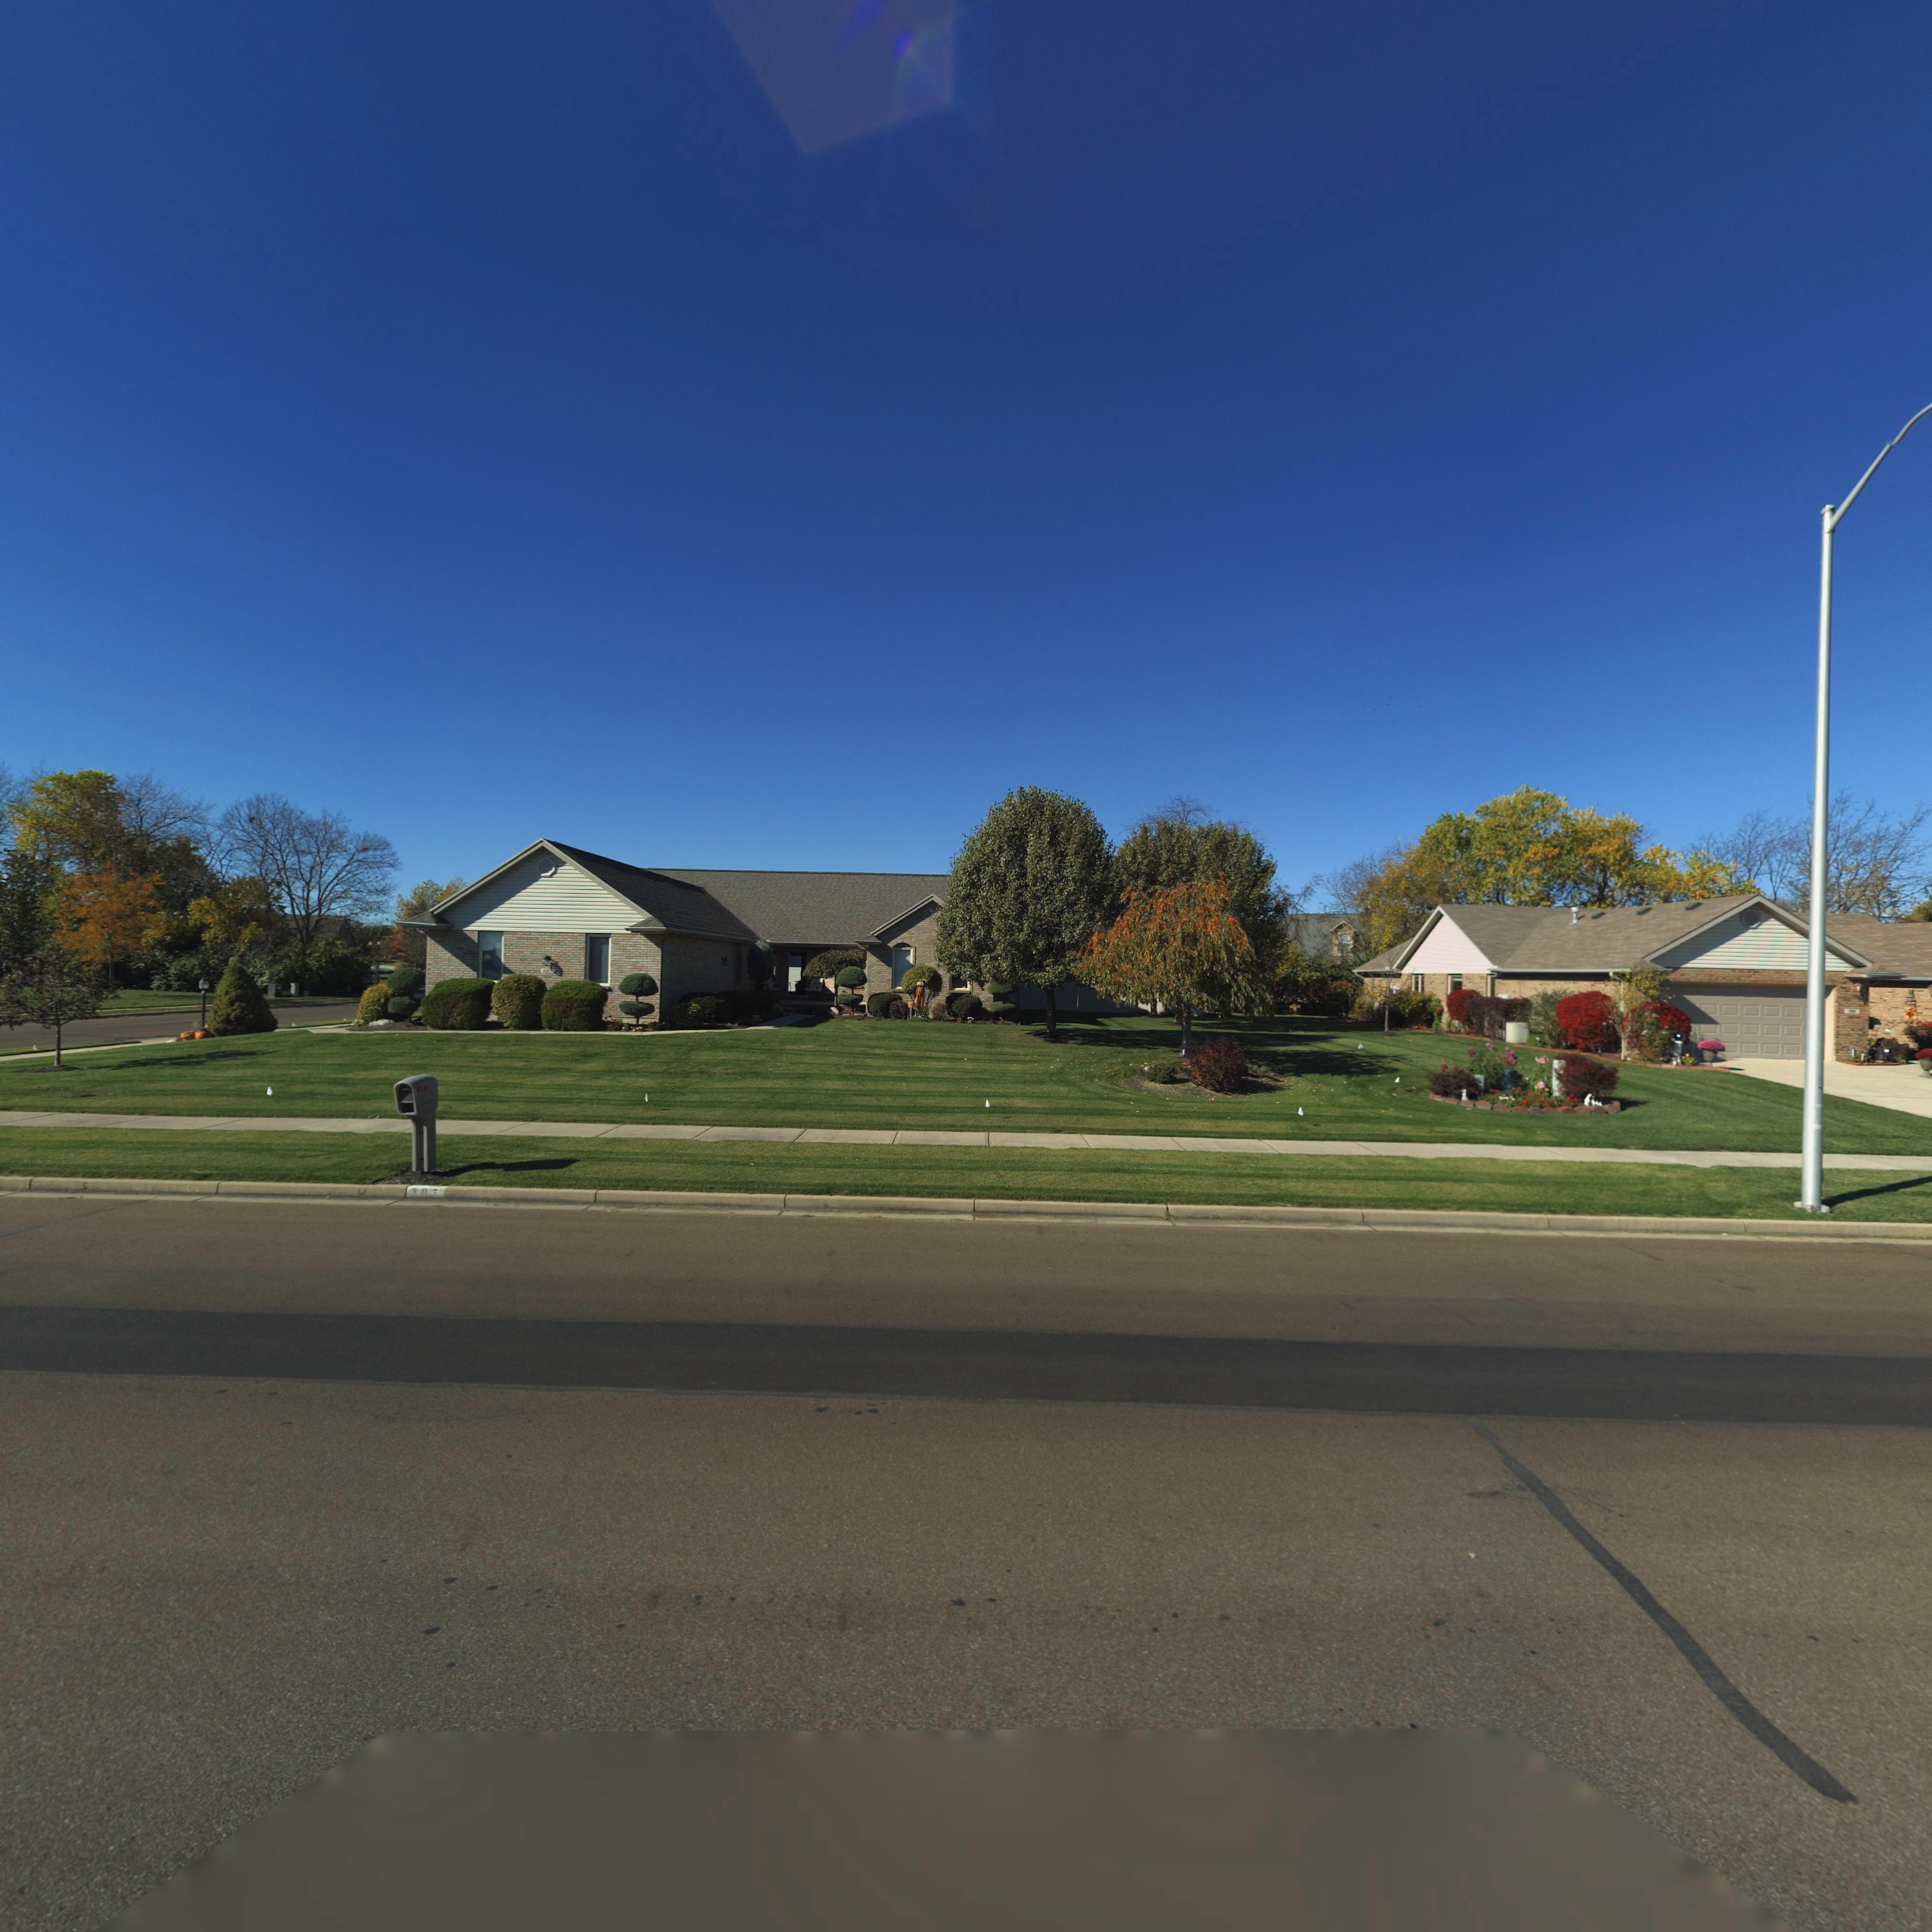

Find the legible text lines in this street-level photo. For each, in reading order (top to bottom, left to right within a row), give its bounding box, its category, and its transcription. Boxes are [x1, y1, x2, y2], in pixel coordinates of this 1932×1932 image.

[542, 968, 553, 973] StreetNumber: 38*
[410, 1187, 439, 1198] StreetNumber: 387